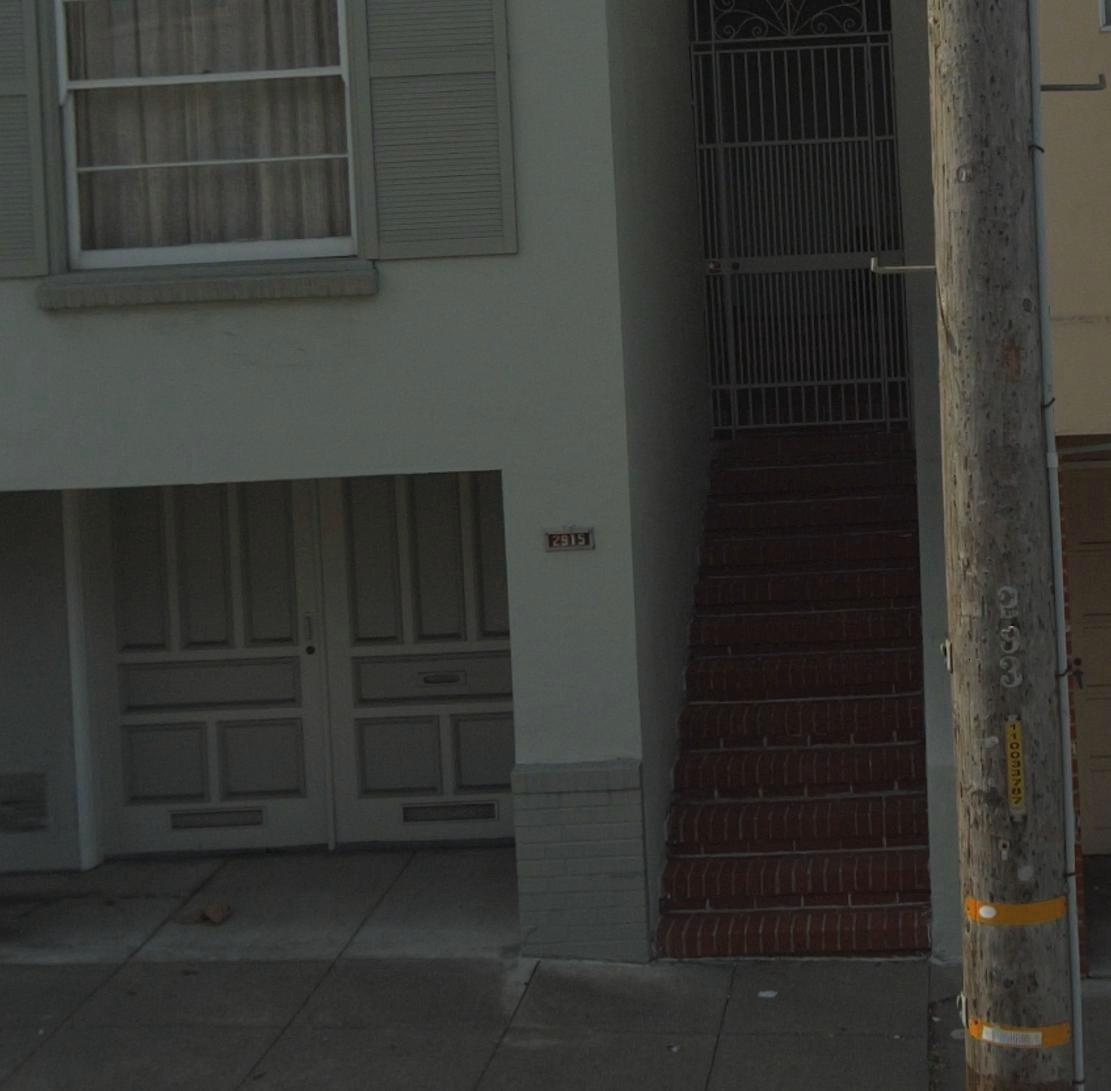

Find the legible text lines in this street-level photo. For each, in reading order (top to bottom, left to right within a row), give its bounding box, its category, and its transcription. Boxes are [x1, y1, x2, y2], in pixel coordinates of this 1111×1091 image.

[550, 531, 587, 549] StreetNumber: 2915
[994, 580, 1026, 692] None: 293
[1007, 721, 1025, 809] None: 1100337*